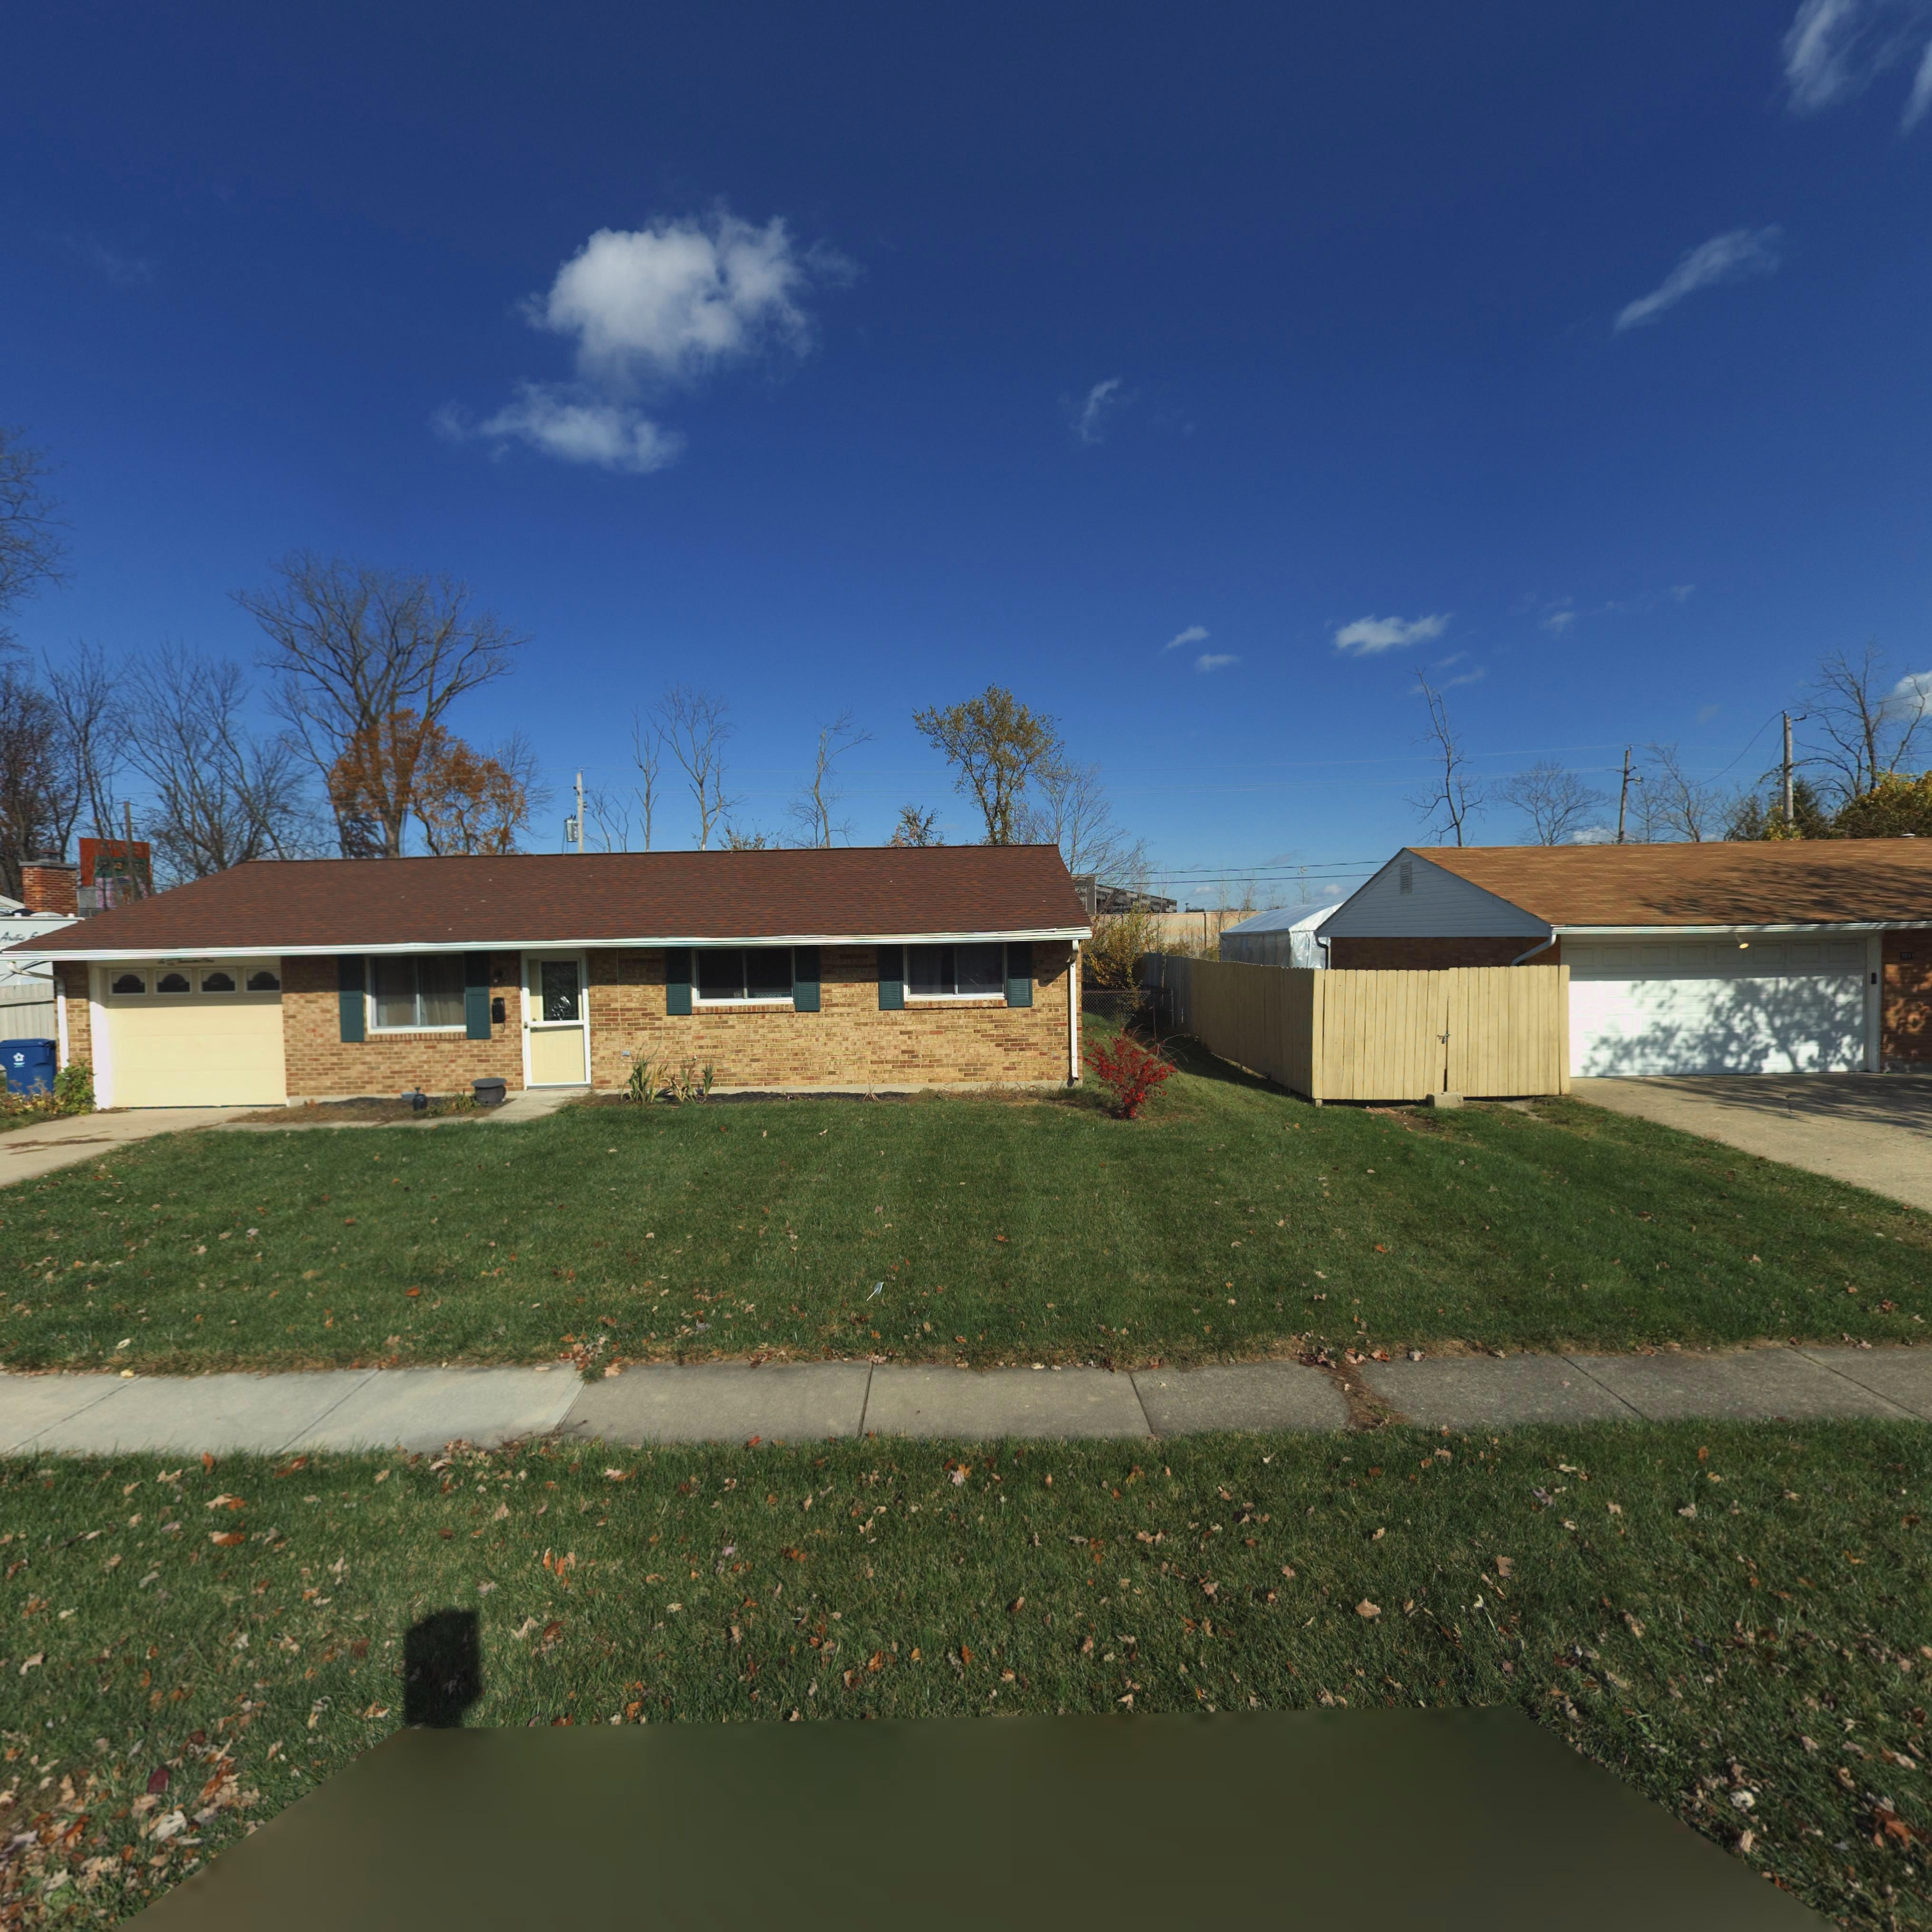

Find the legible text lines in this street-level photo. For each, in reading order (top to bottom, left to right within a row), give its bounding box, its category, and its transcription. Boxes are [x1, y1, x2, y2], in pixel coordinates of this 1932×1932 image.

[1900, 951, 1916, 960] StreetNumber: **1*